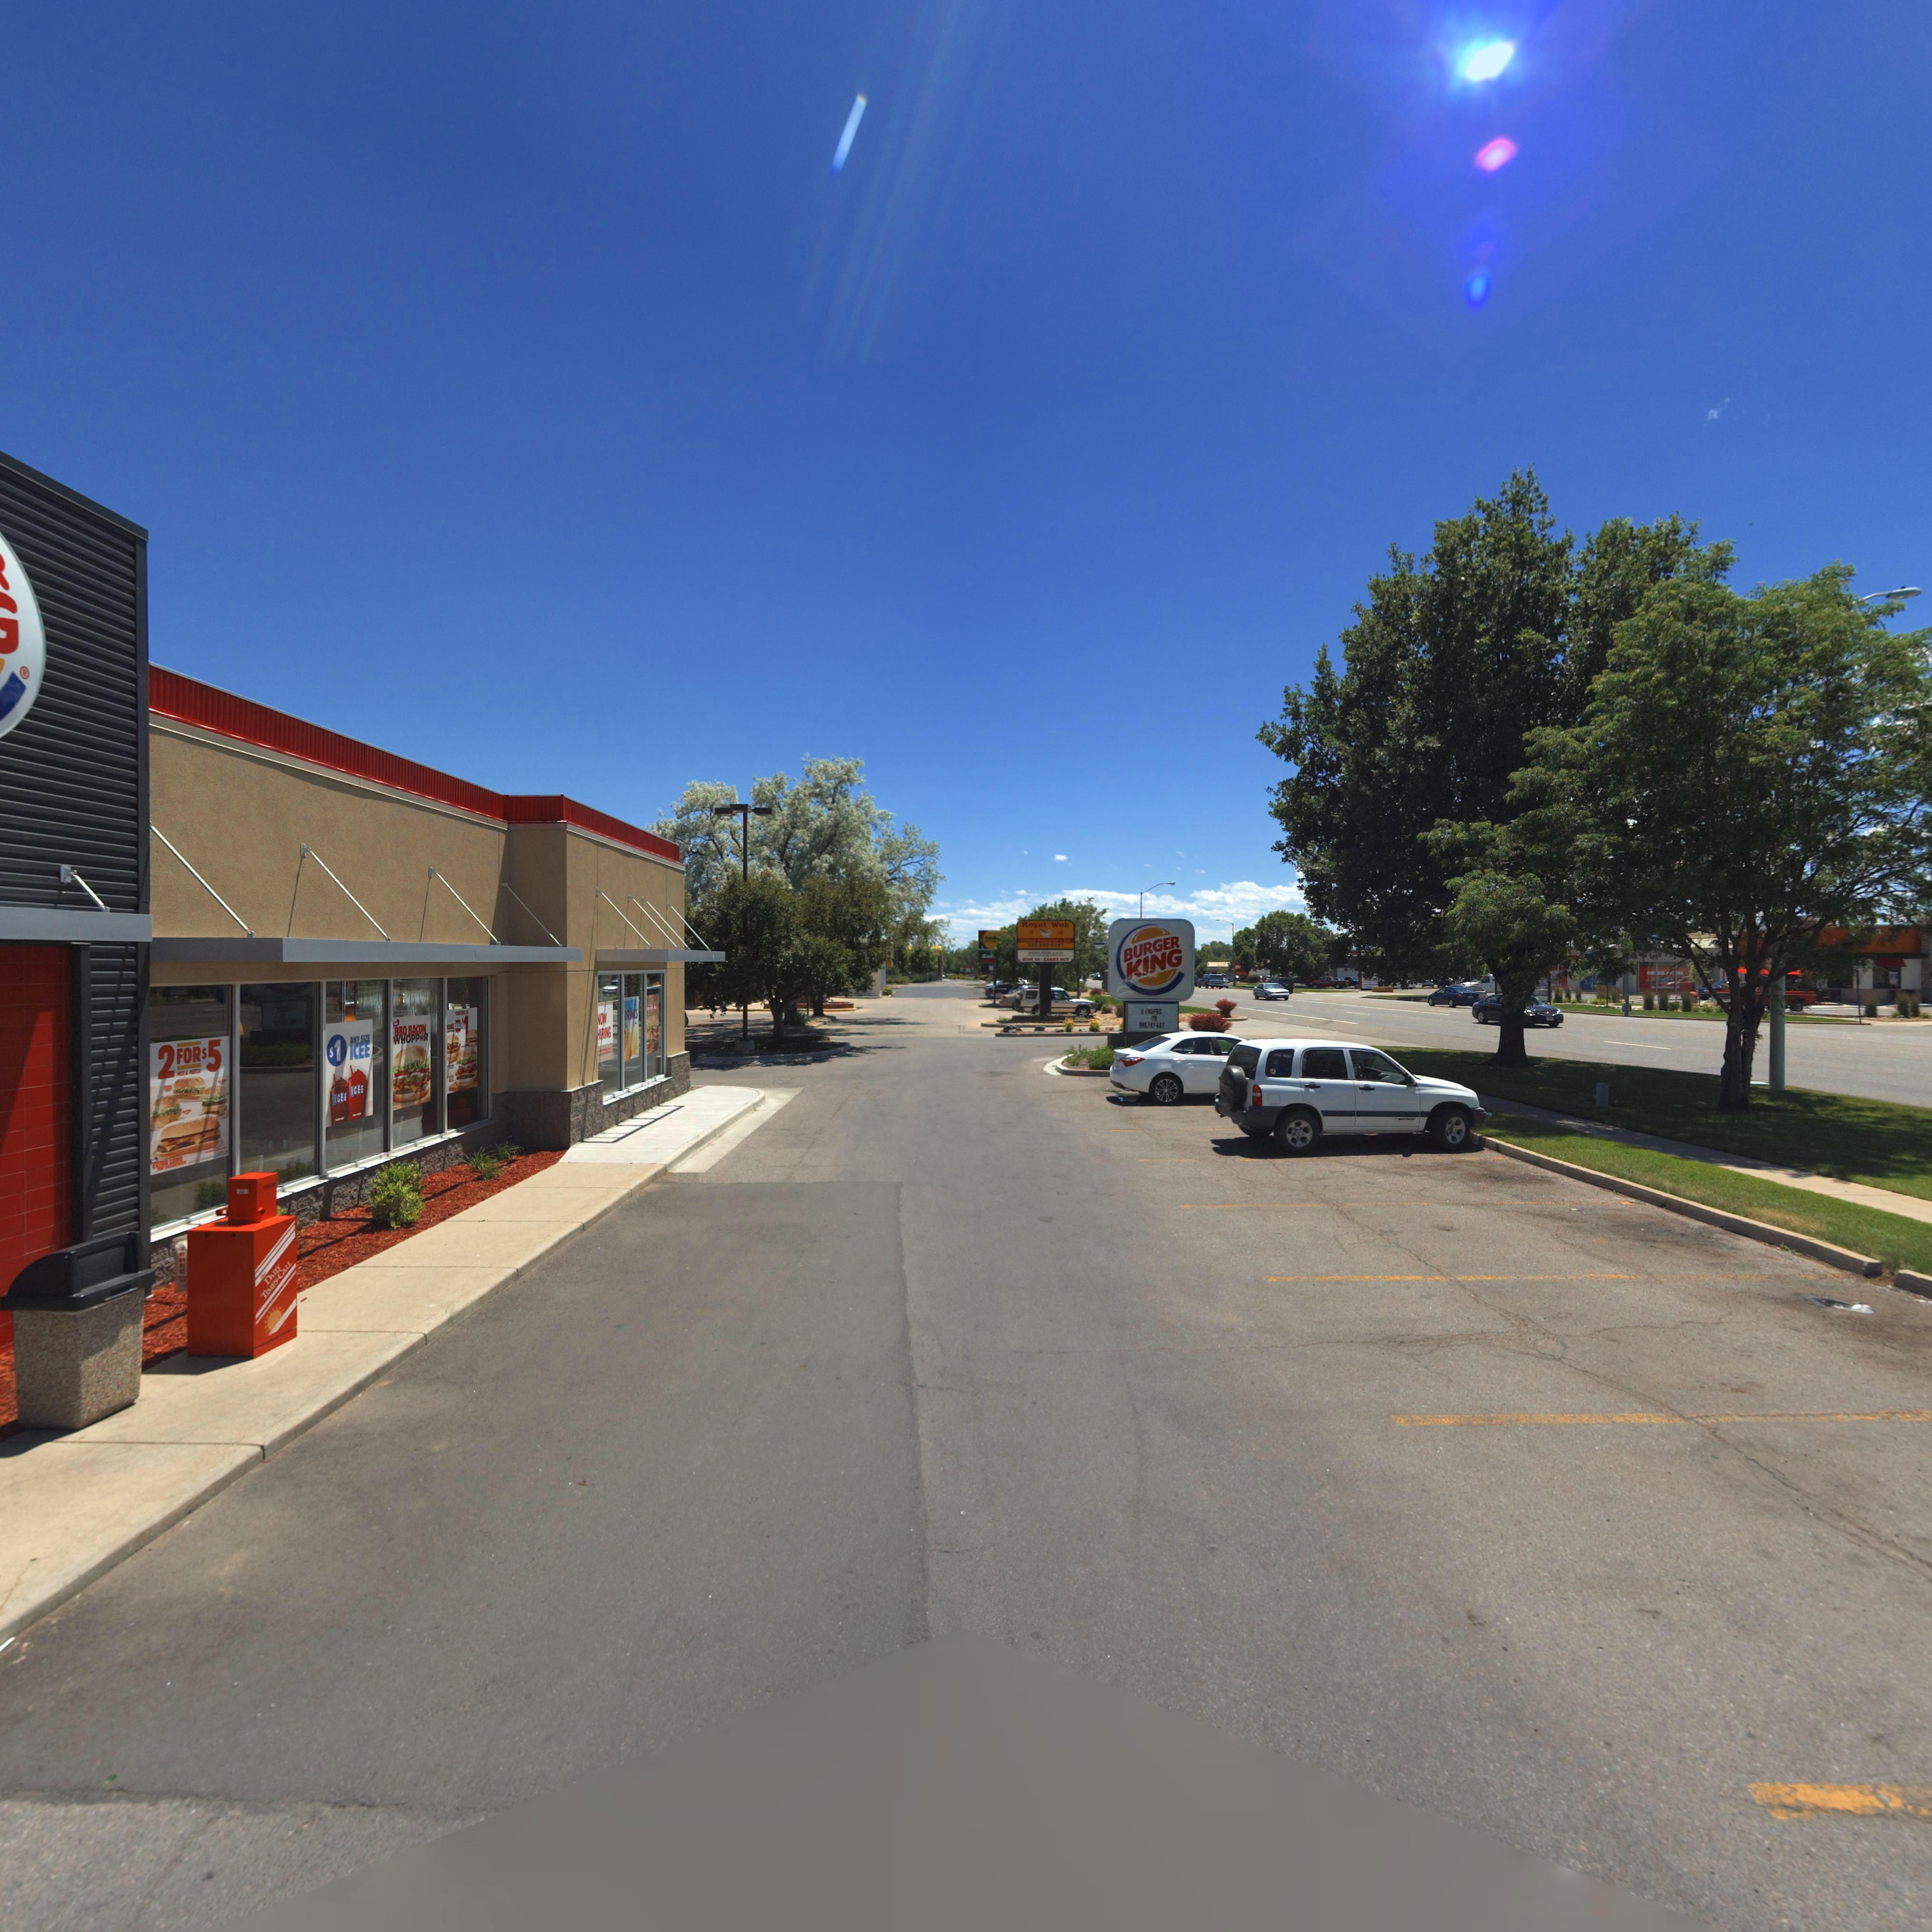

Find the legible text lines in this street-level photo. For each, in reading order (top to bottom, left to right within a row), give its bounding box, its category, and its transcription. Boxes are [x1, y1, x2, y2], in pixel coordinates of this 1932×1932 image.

[1022, 921, 1069, 928] BusinessName: Royal Wok
[984, 935, 996, 940] BusinessName: me*
[1123, 936, 1180, 963] StreetNumber: BURGER
[981, 952, 994, 958] BusinessName: Saf
[1126, 948, 1182, 982] BusinessName: KING